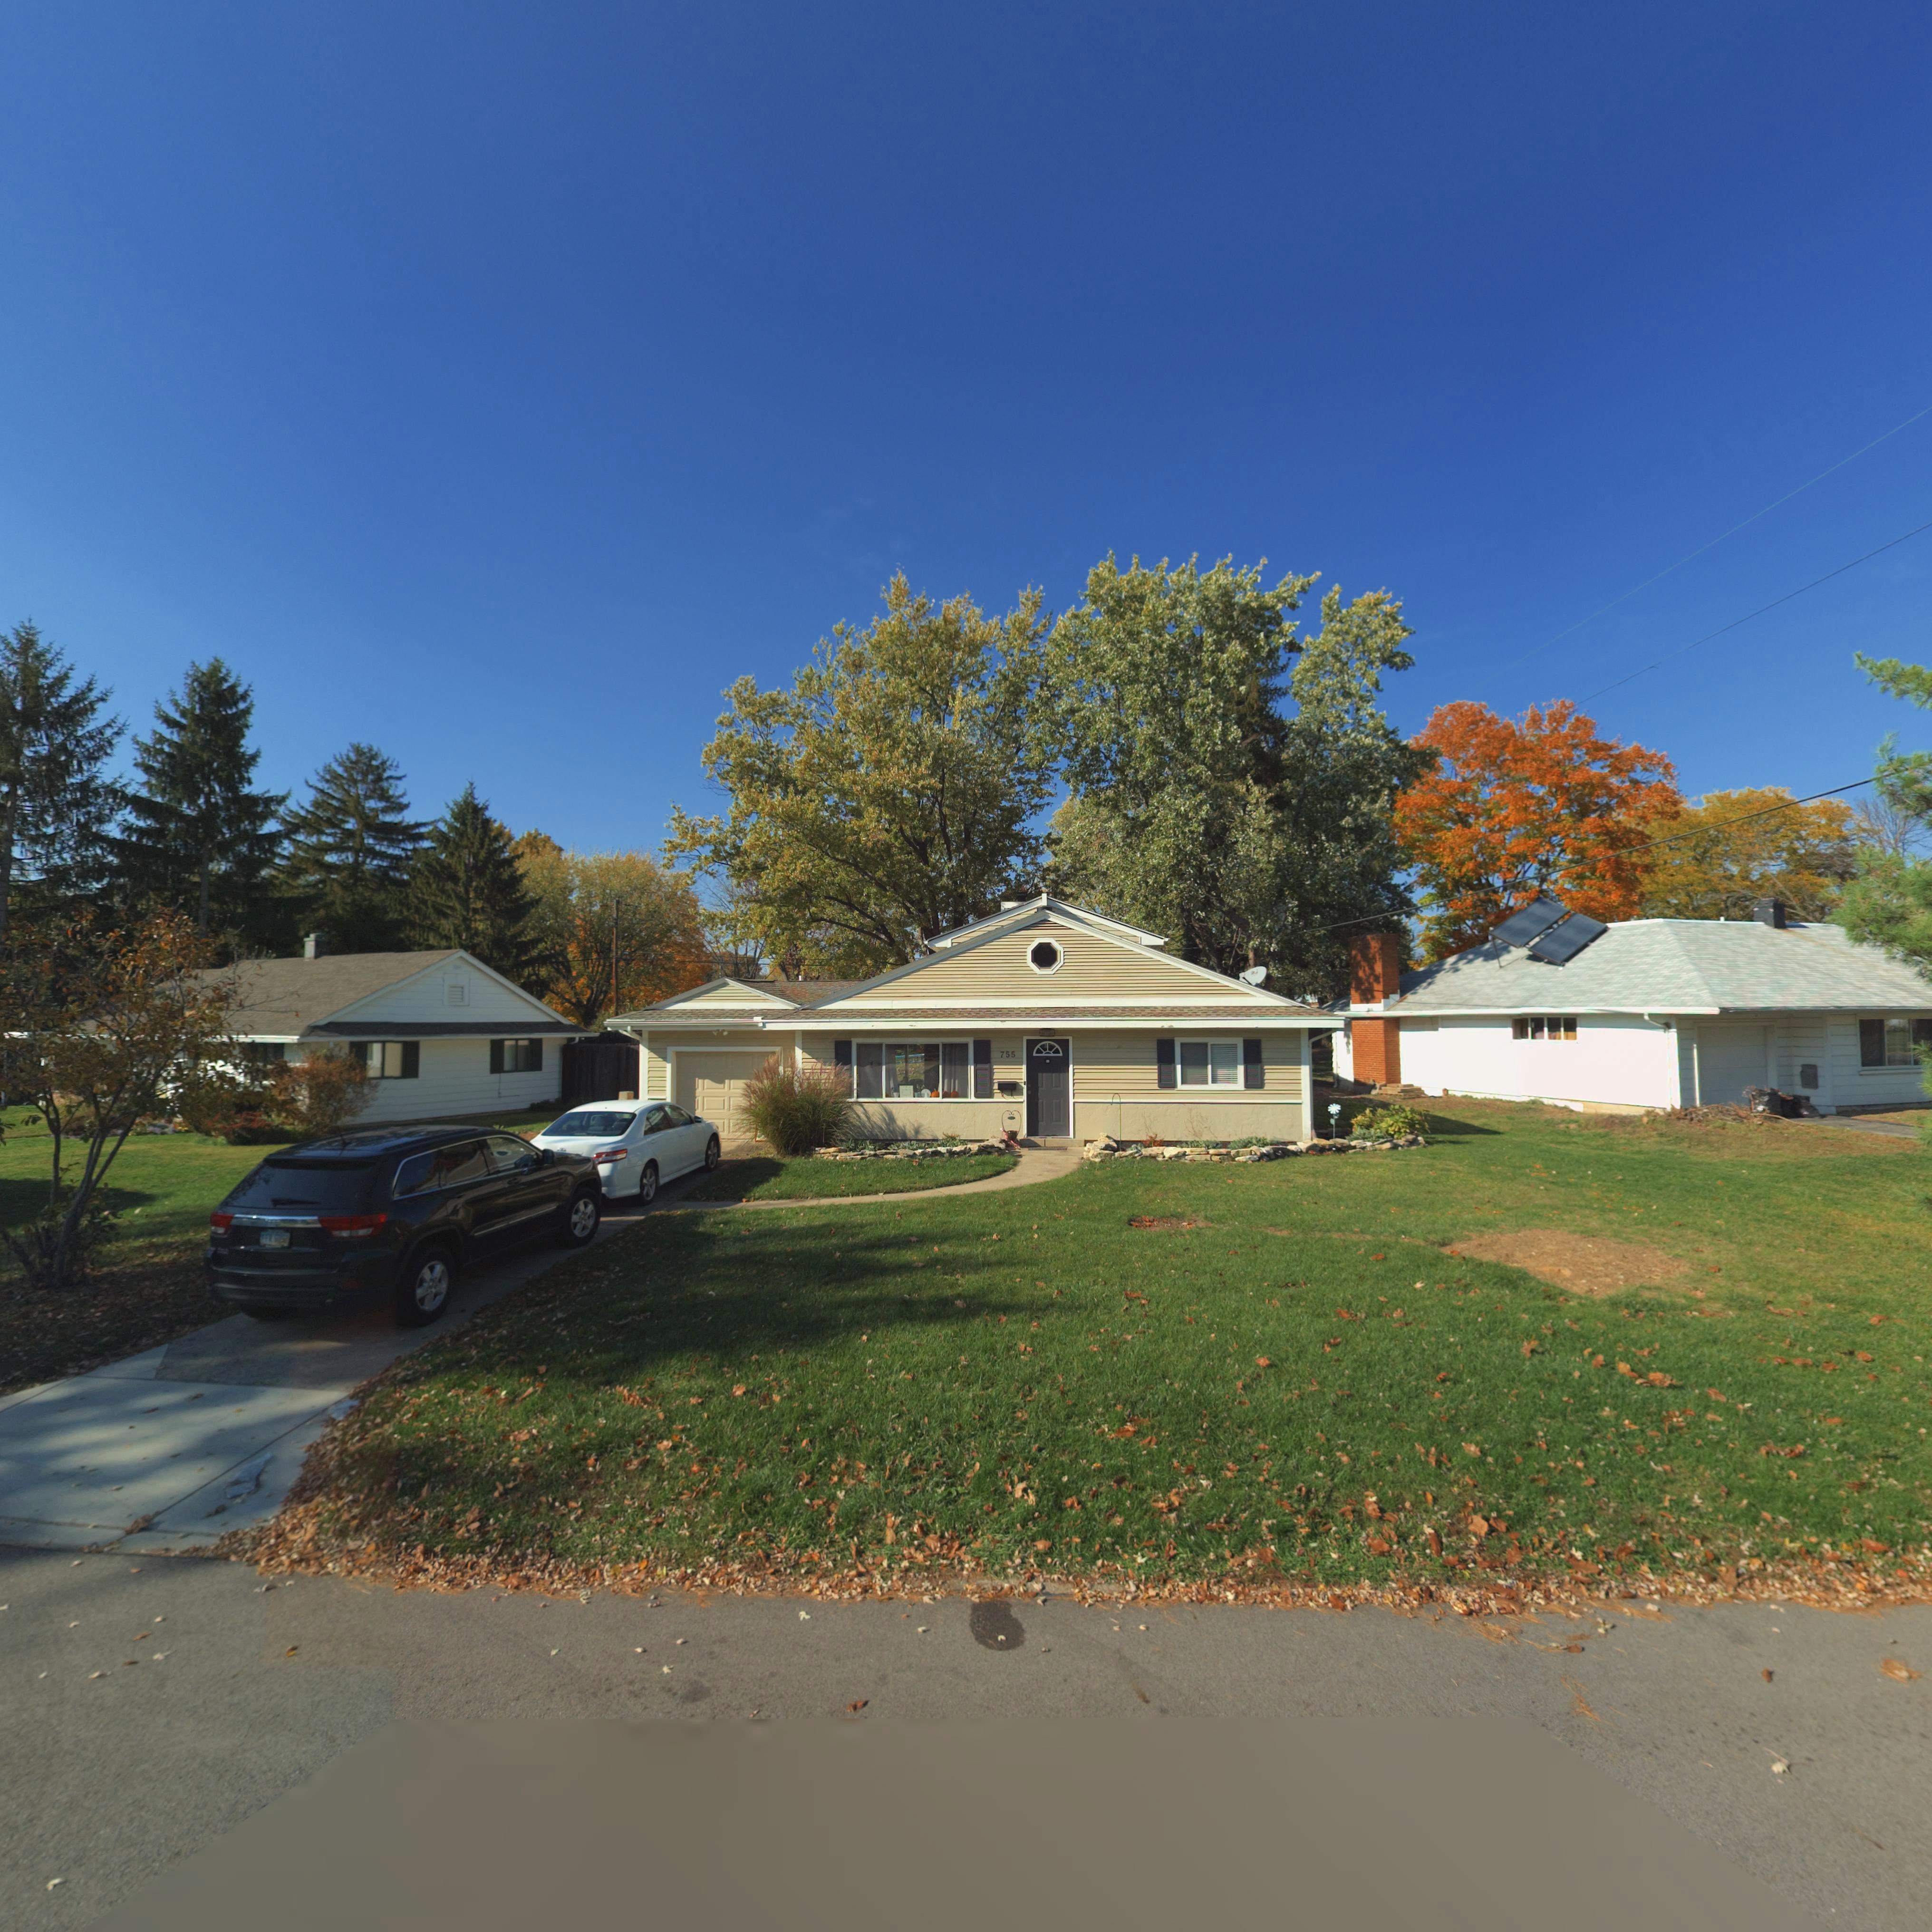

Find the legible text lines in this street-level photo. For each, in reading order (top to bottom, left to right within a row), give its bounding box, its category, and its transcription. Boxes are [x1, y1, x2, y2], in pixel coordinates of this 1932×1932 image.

[999, 1050, 1016, 1059] StreetNumber: 755